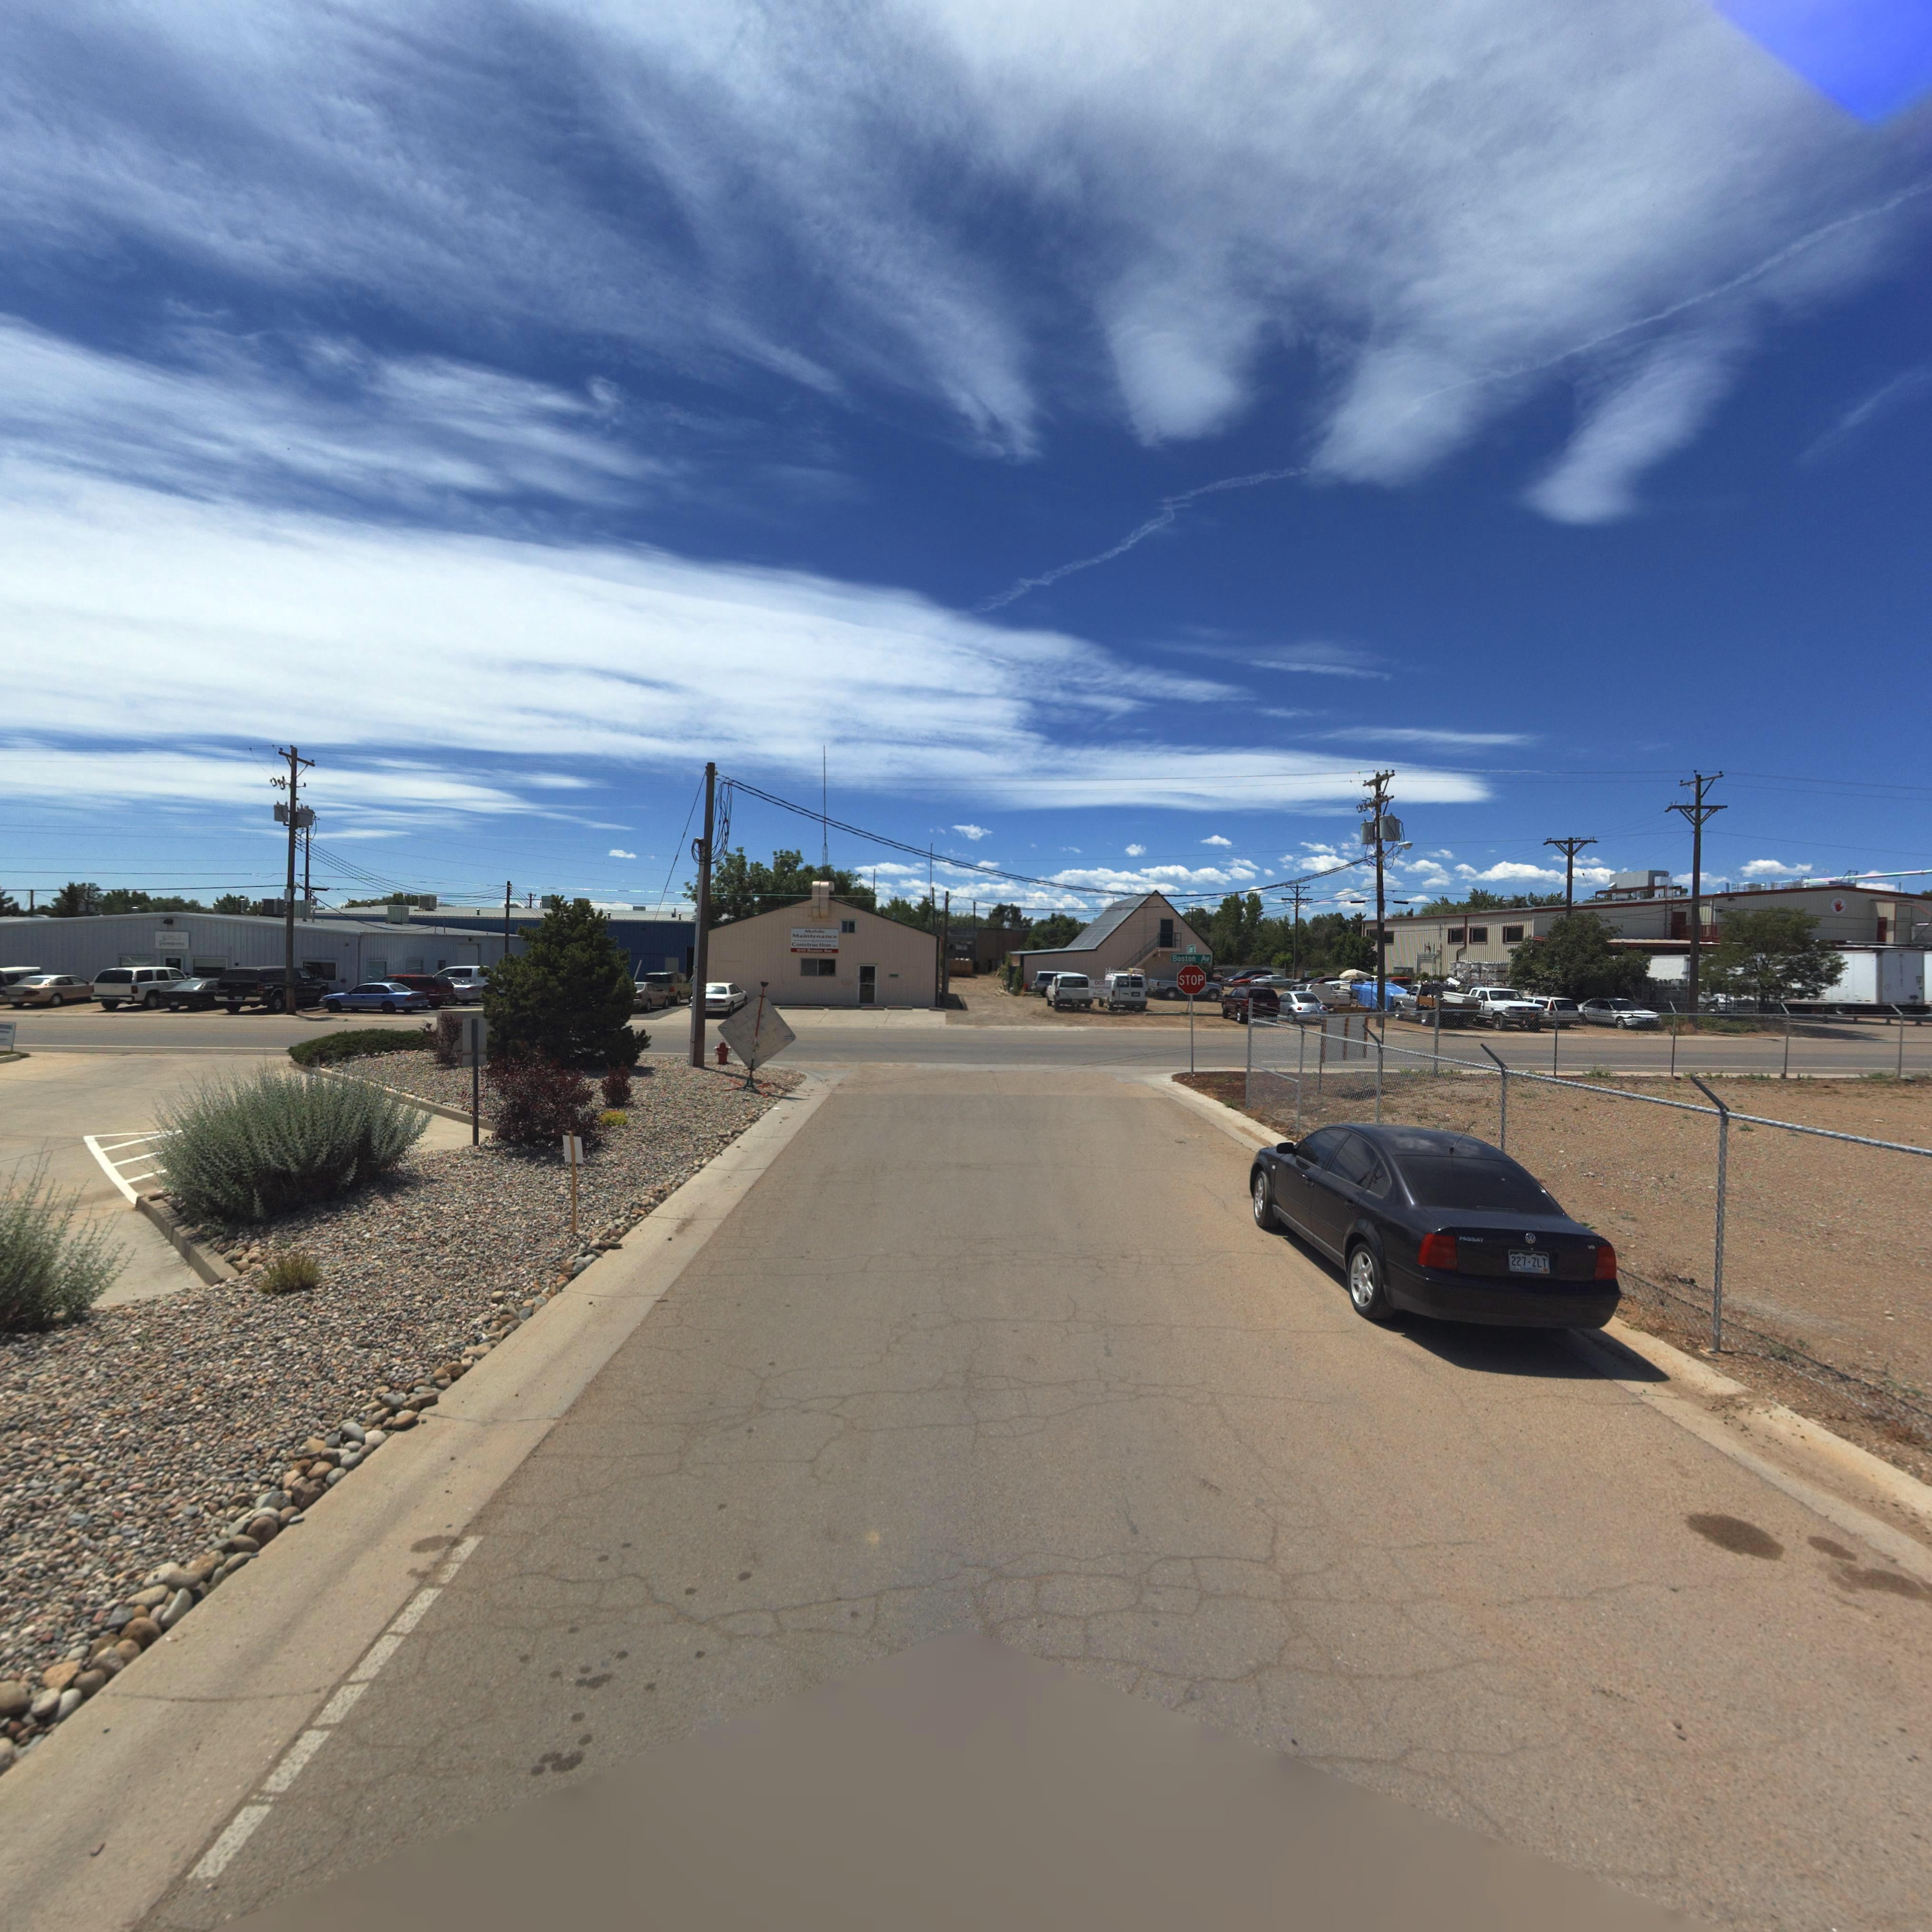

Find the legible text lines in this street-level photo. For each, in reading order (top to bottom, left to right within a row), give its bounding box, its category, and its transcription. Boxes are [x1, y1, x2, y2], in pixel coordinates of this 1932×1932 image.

[804, 928, 824, 933] BusinessName: Mobile
[792, 933, 837, 939] BusinessName: Maintance
[791, 942, 836, 947] BusinessName: Construction
[1172, 955, 1210, 961] StreetName: Bostom Av